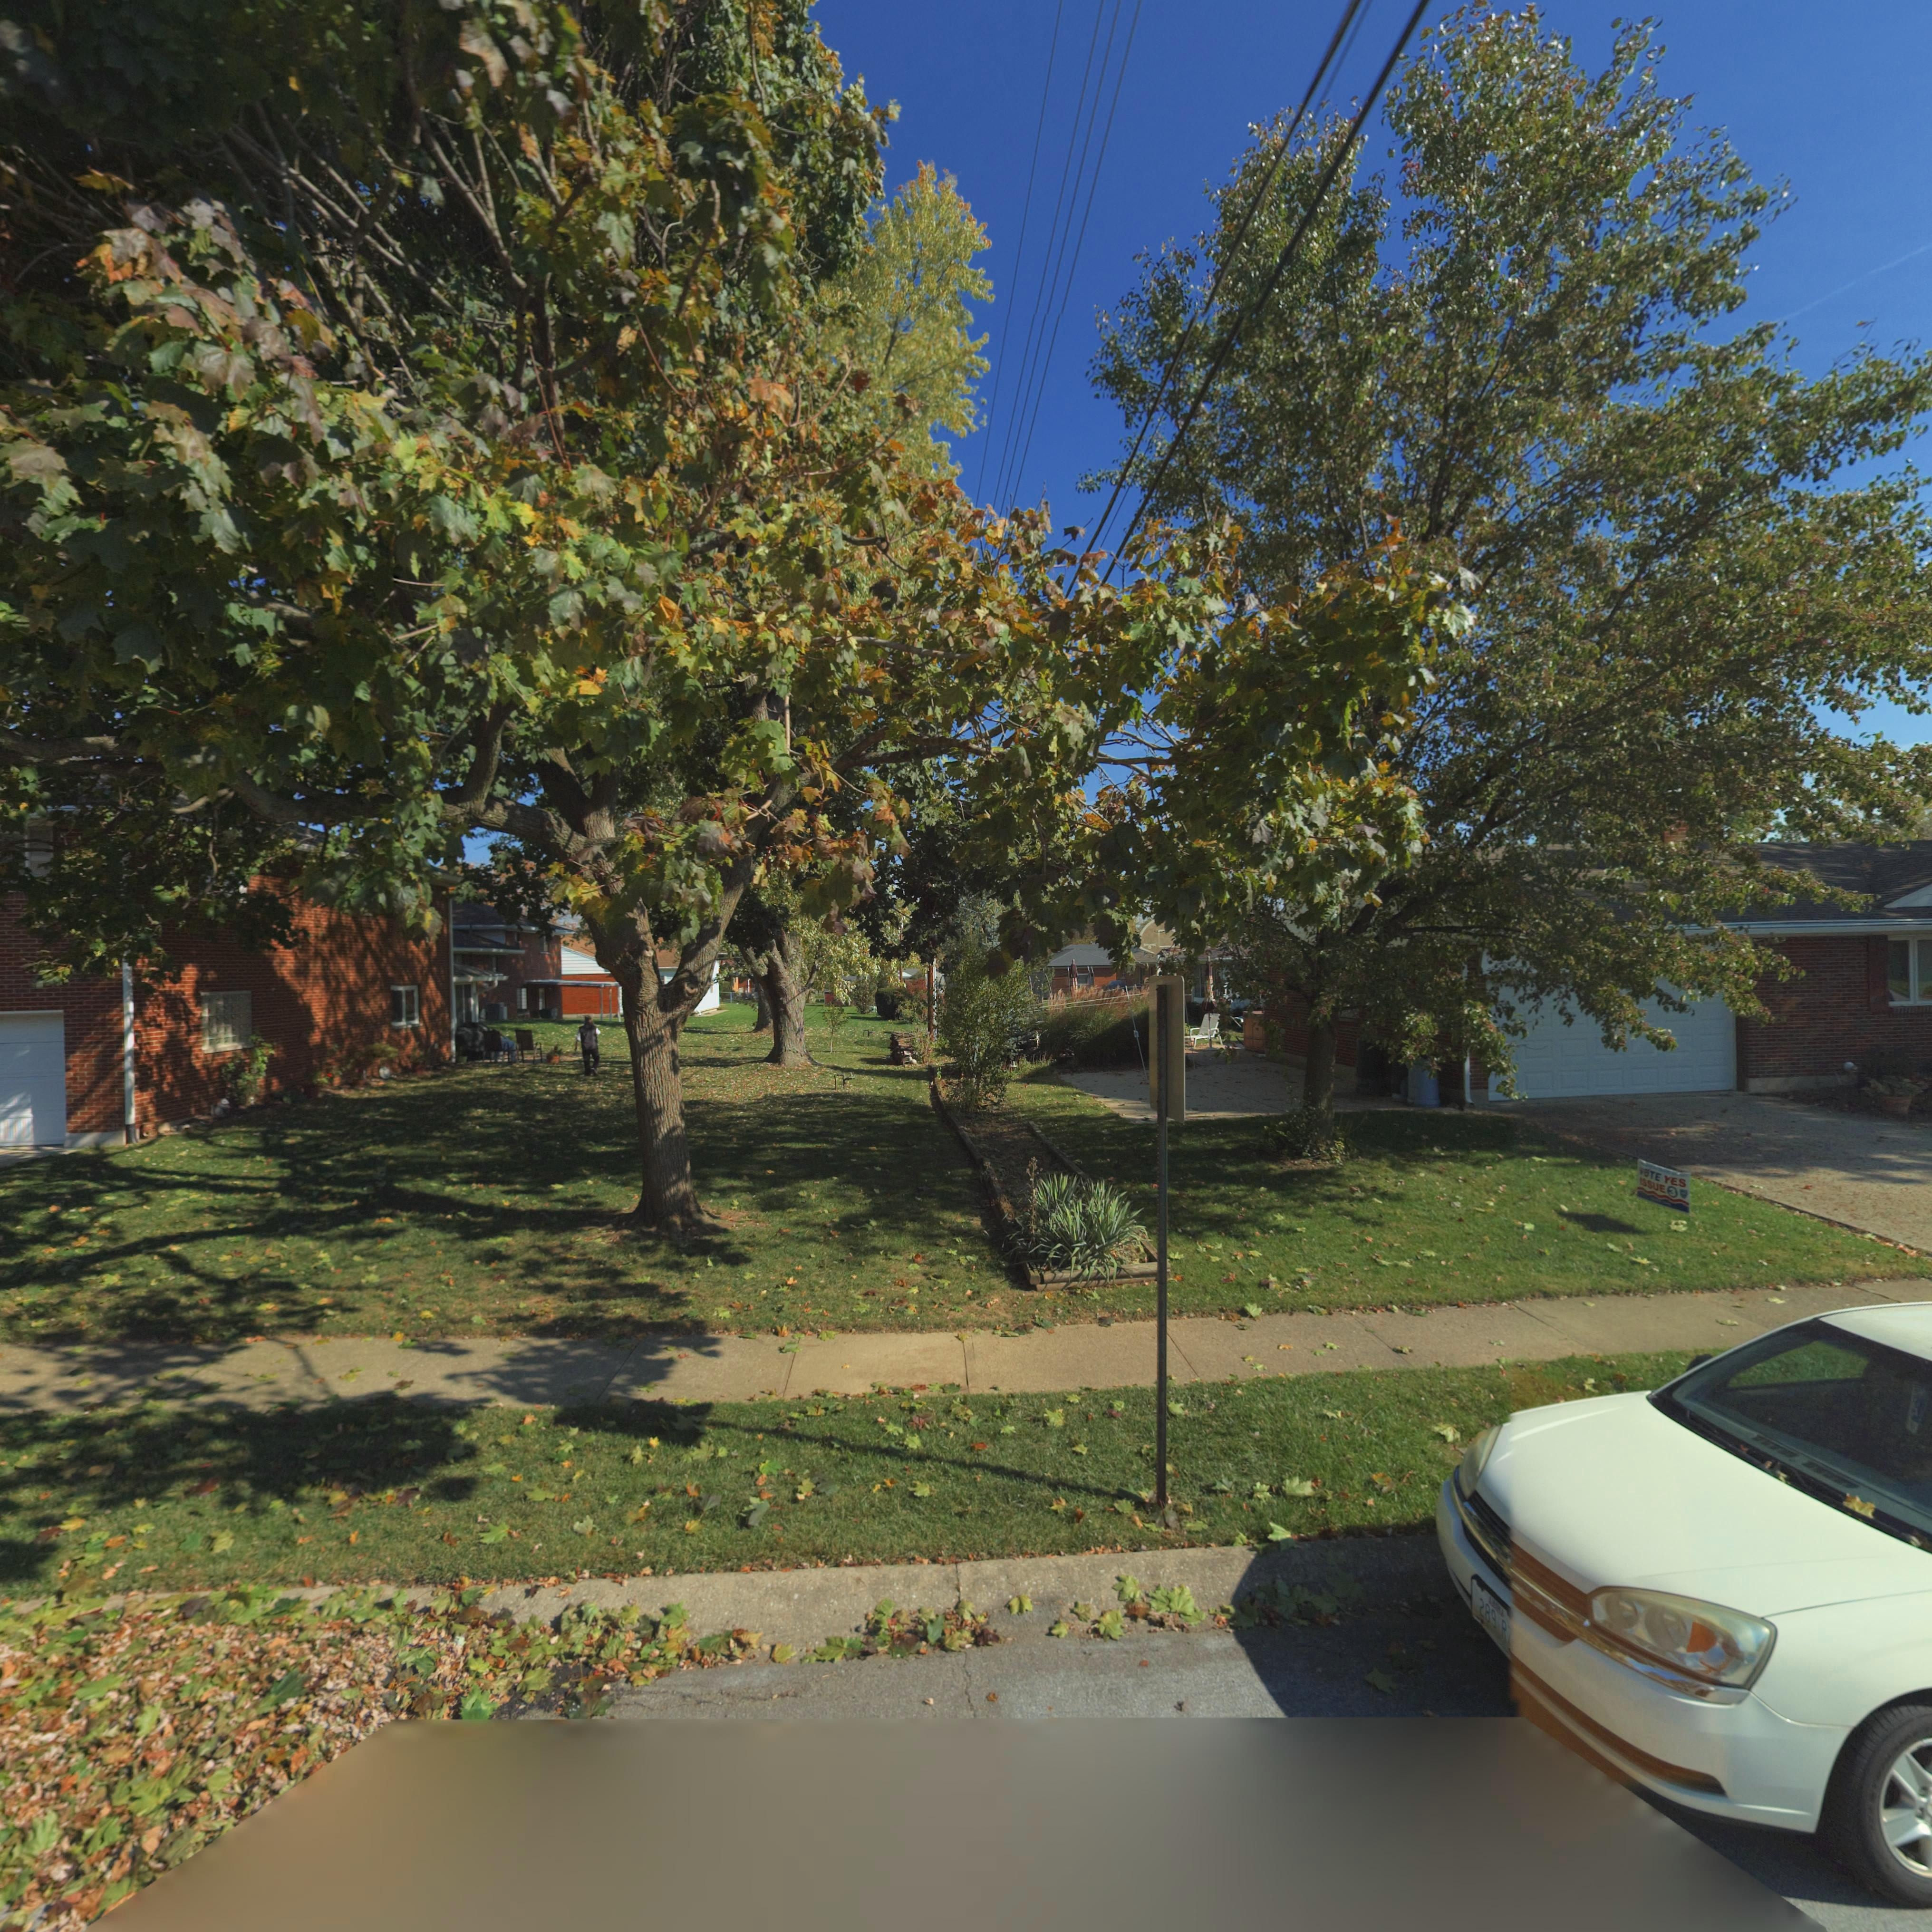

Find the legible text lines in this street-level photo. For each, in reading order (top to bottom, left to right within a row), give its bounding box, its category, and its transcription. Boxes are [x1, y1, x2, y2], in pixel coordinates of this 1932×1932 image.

[1639, 1176, 1676, 1198] None: ISSUE 3
[1639, 1166, 1686, 1188] None: VOTE YES
[1479, 1595, 1513, 1644] None: 289 R7